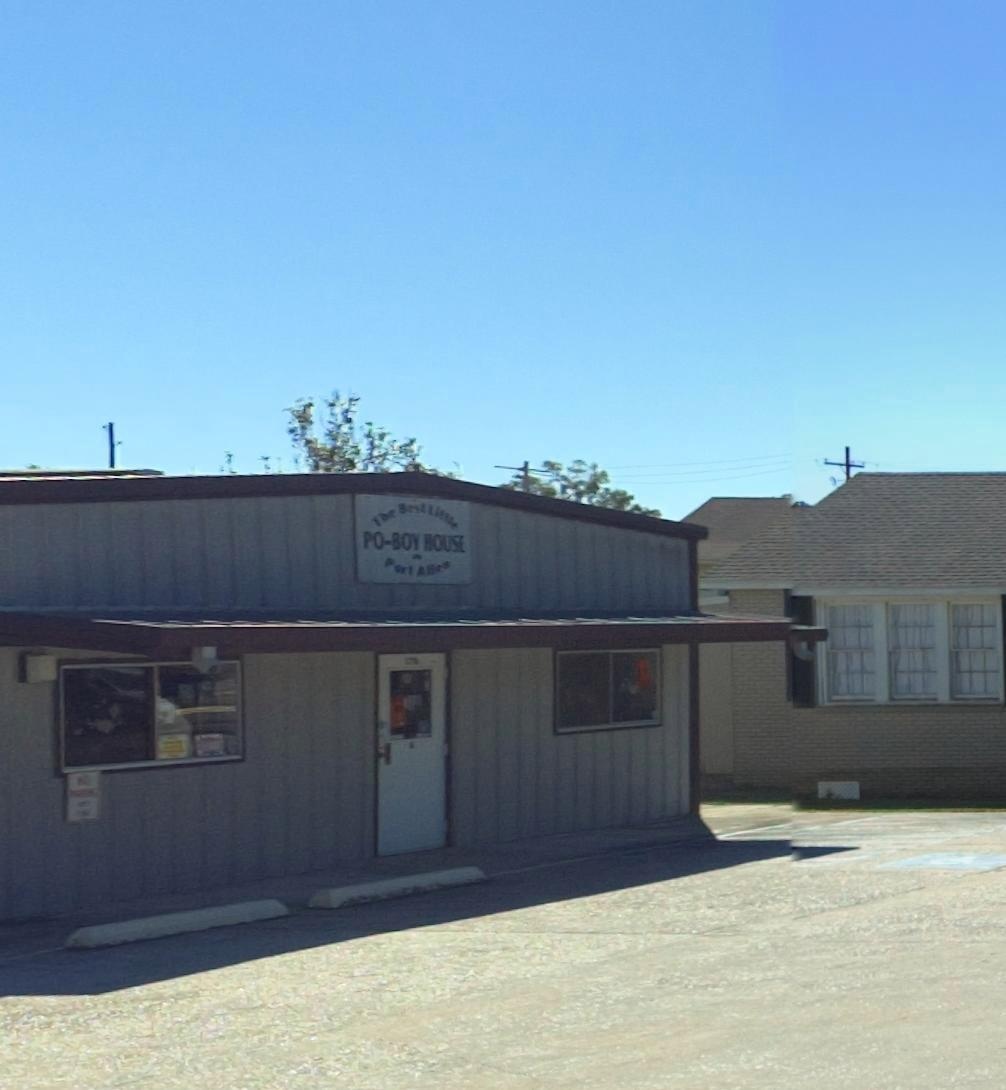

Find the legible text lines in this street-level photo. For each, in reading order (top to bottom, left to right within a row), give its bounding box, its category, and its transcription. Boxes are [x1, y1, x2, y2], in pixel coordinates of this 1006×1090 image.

[368, 501, 462, 531] None: The Best Little
[362, 531, 467, 553] BusinessName: PO-BOY HOUSE
[381, 555, 455, 578] None: Port A*e*